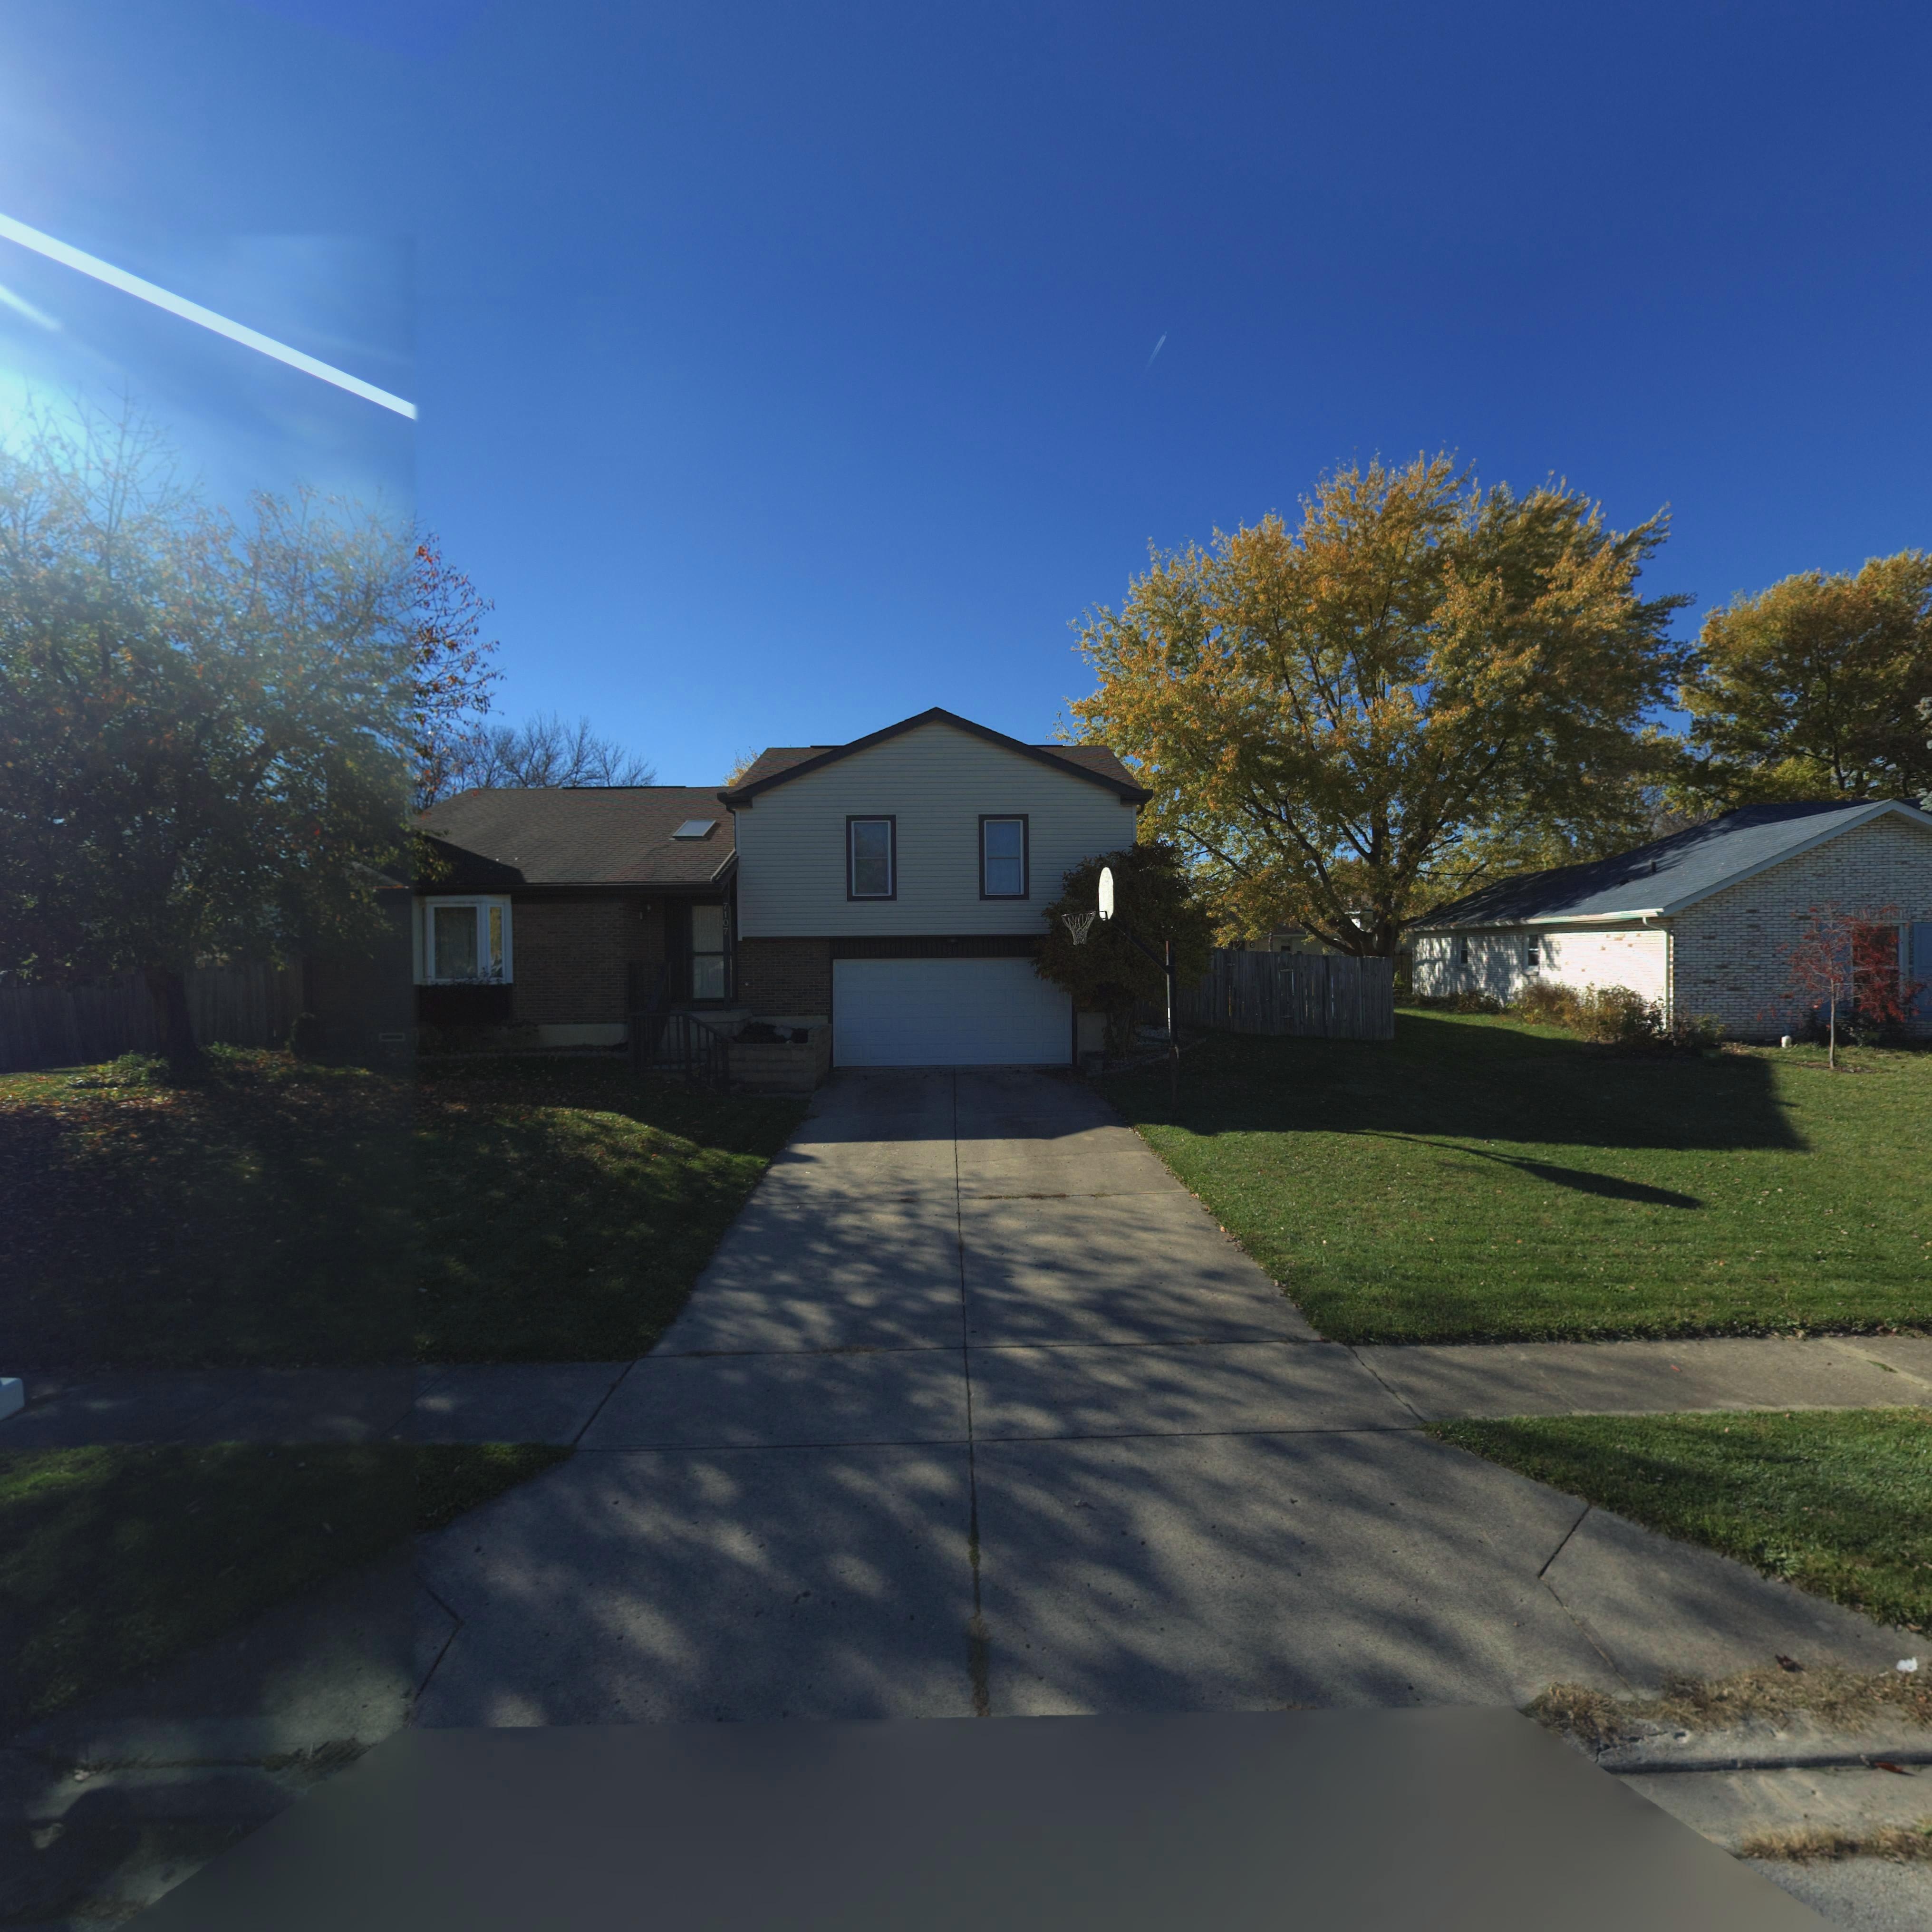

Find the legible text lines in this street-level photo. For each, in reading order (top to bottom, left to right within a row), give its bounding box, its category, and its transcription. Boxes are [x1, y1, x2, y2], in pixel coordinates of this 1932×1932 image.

[721, 901, 730, 937] StreetNumber: 7107